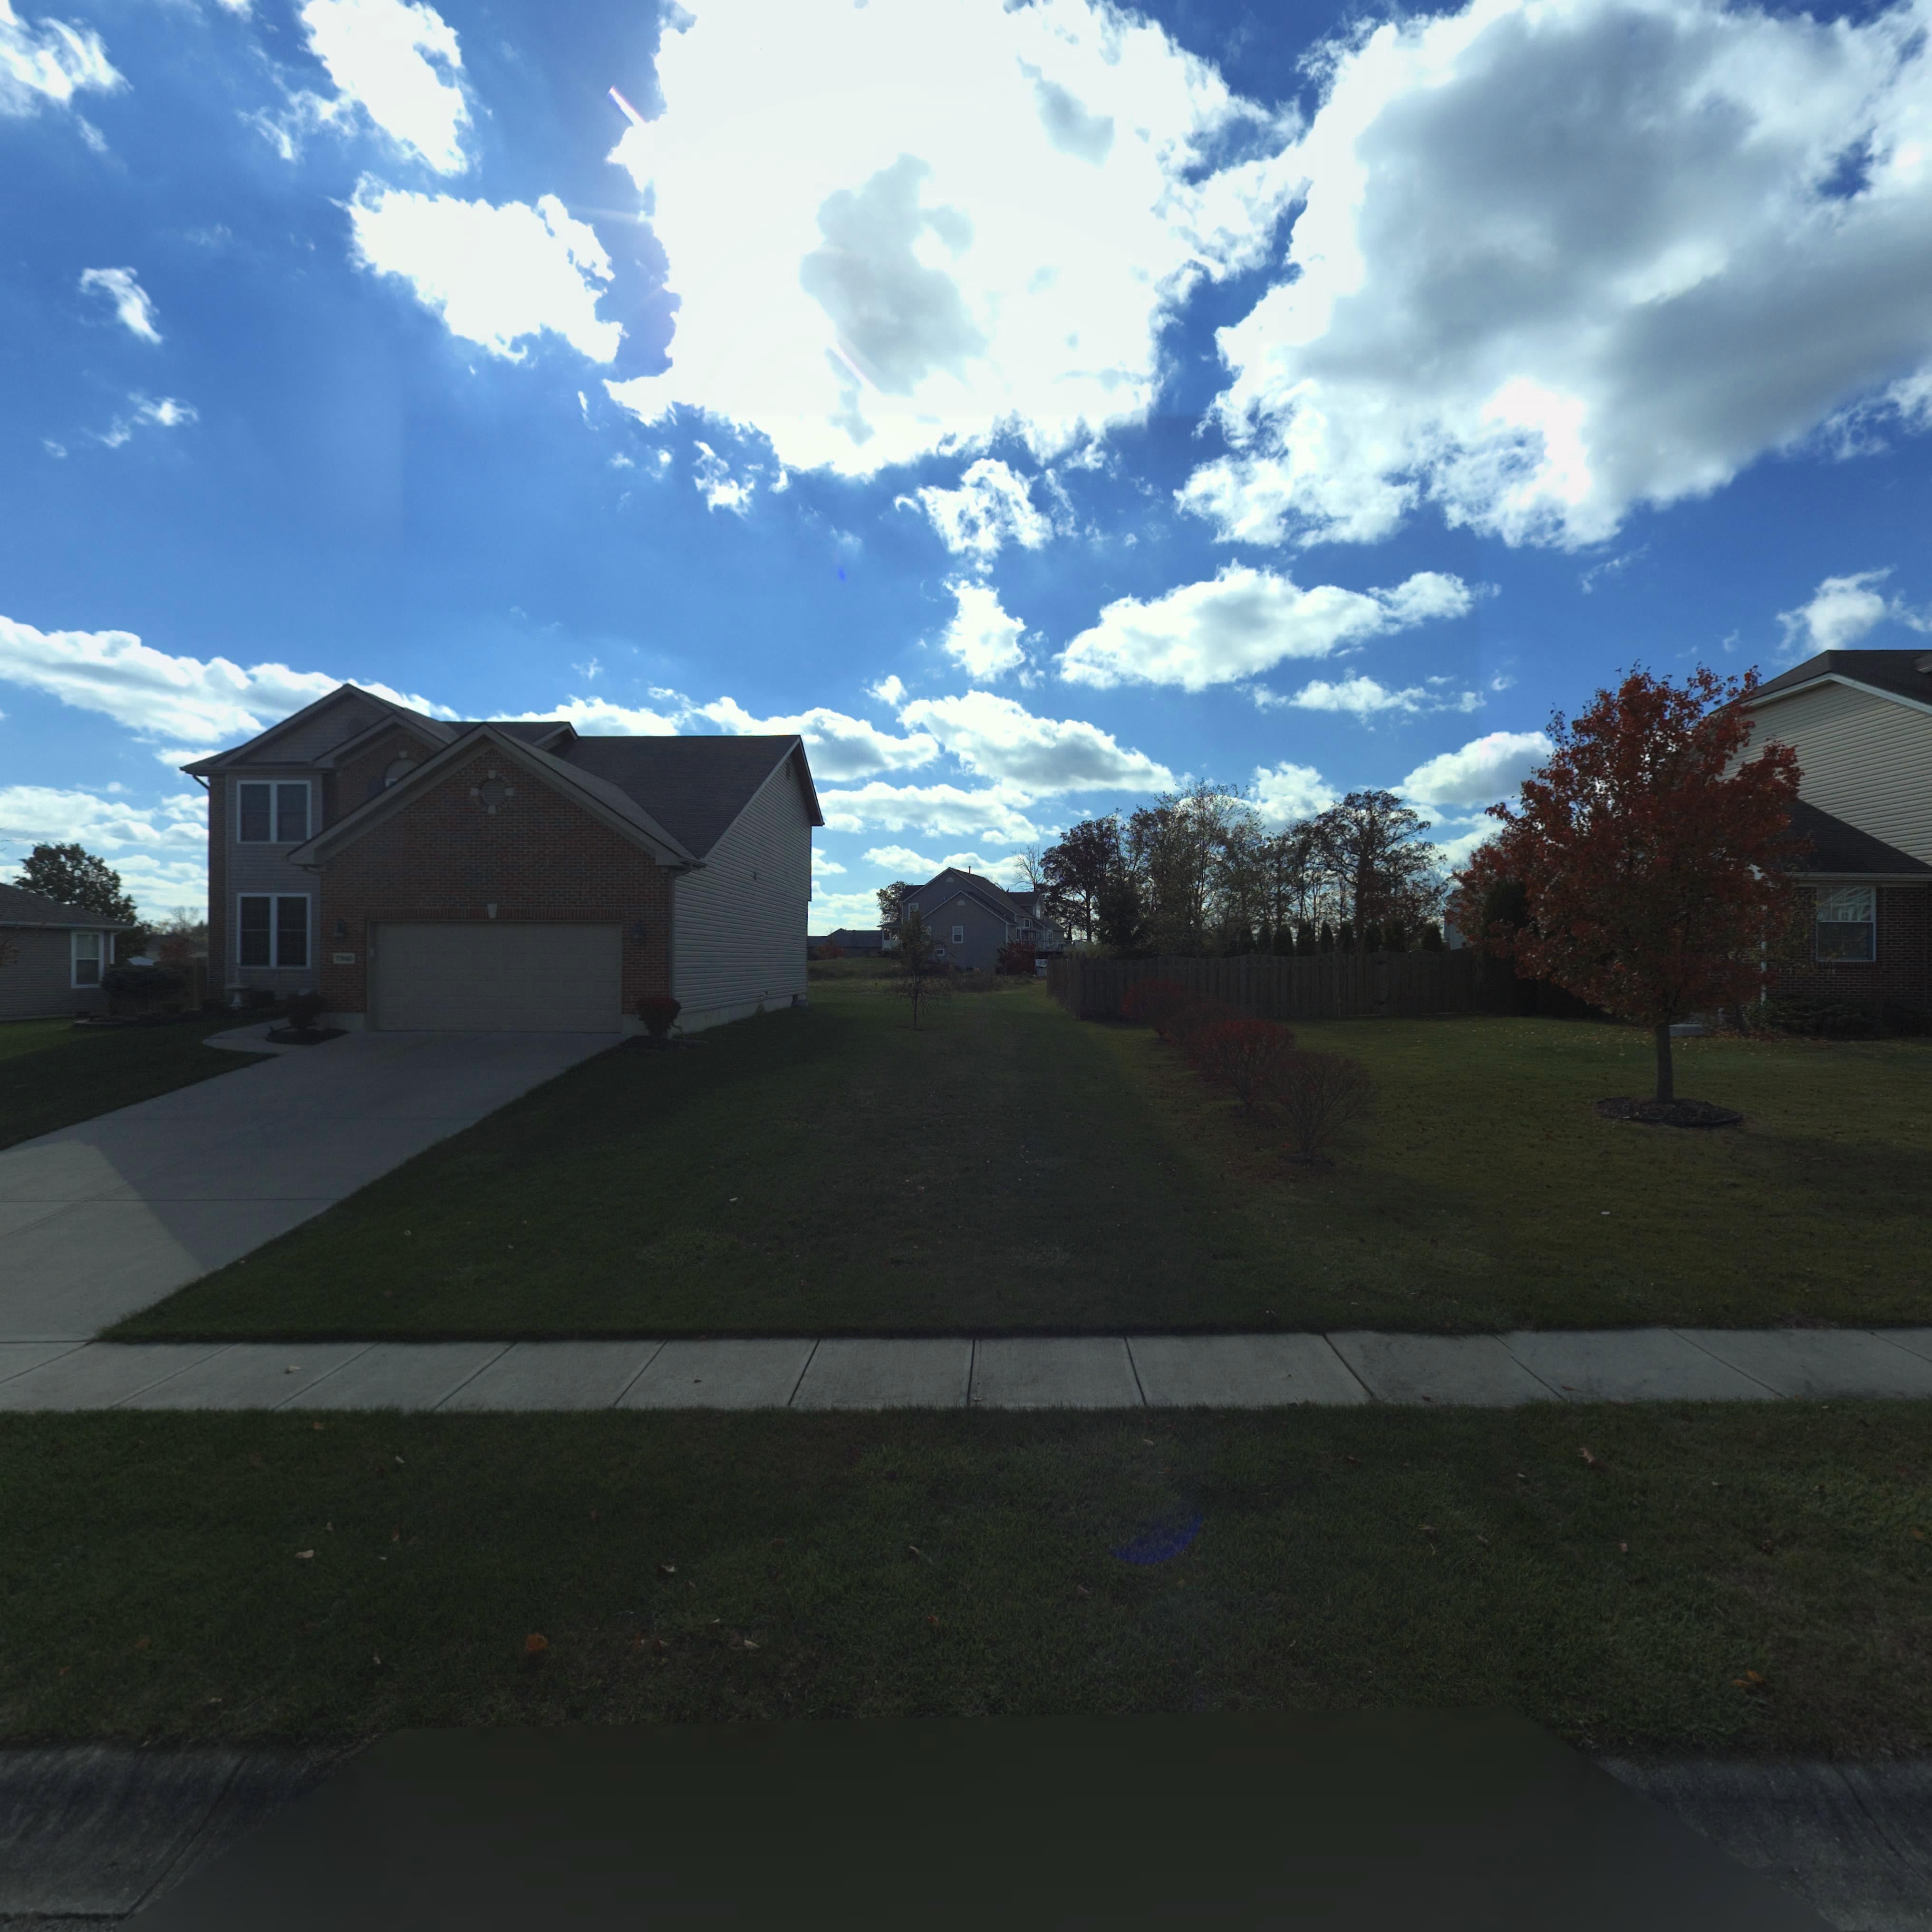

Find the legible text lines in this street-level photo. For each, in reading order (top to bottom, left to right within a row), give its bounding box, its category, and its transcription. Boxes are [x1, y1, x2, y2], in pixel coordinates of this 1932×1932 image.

[333, 954, 353, 962] StreetNumber: 73*0